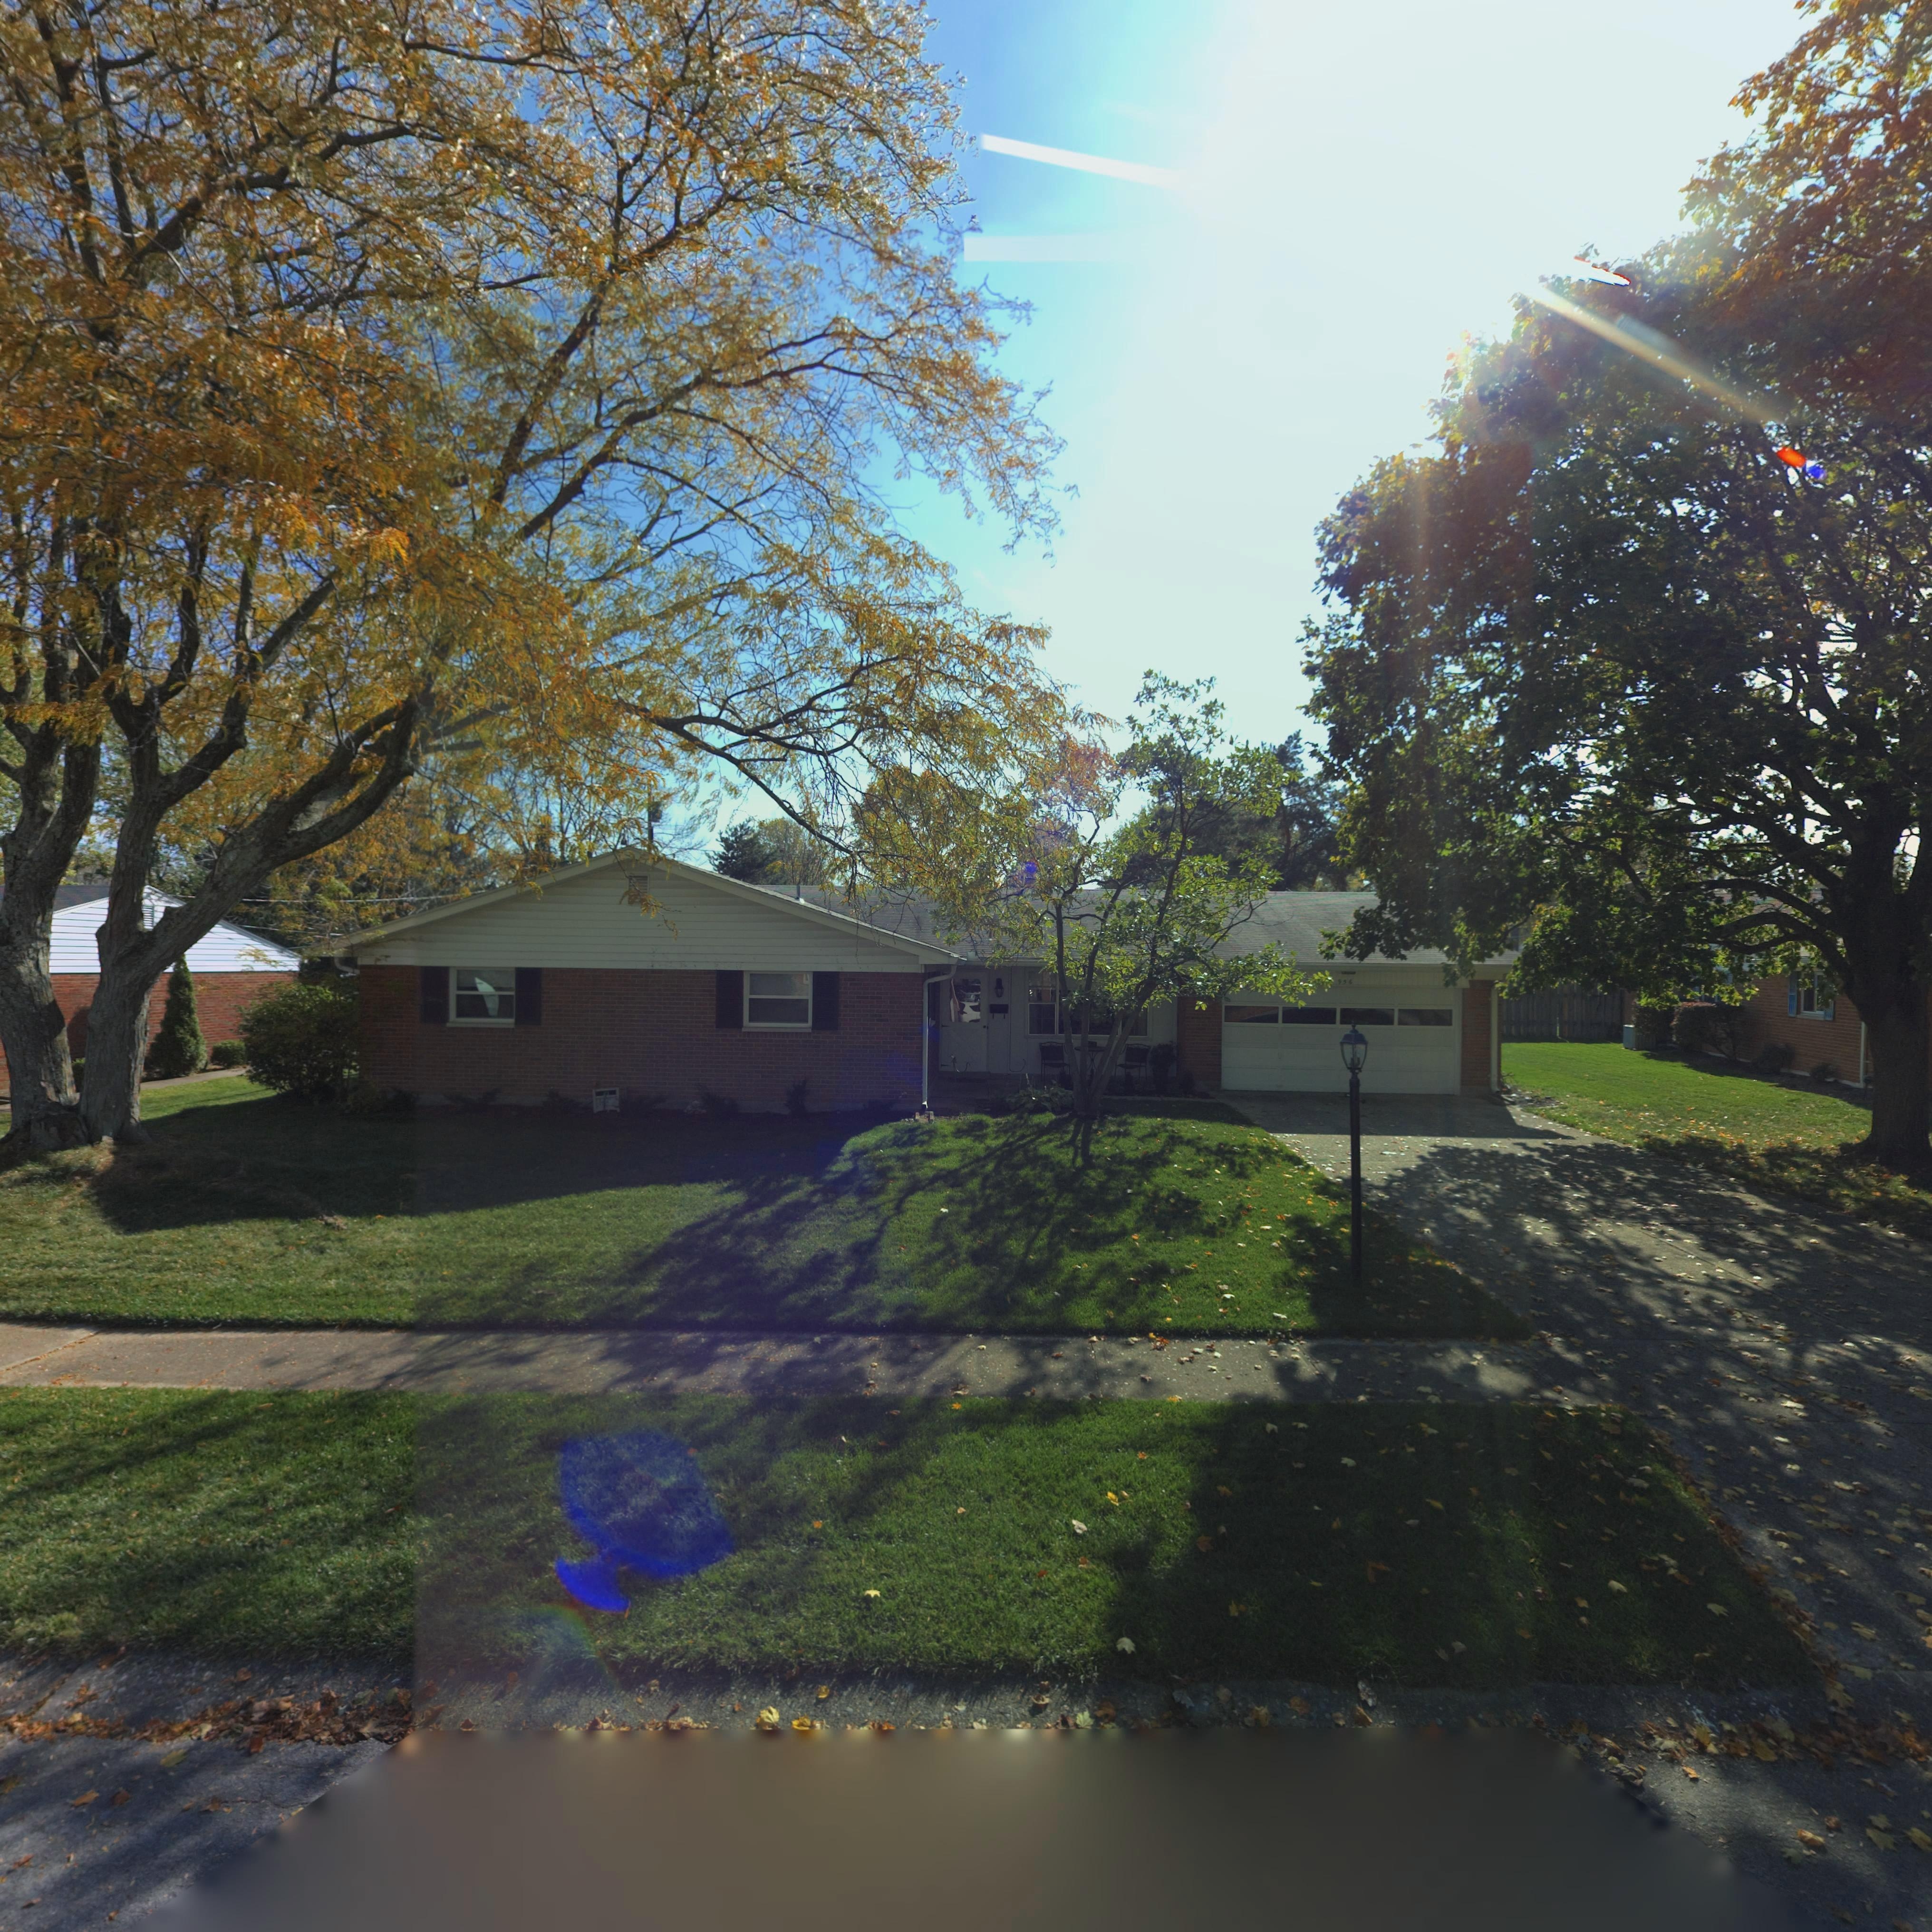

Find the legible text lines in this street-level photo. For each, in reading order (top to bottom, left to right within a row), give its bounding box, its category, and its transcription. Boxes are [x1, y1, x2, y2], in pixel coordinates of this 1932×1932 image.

[1338, 978, 1353, 985] StreetNumber: 956